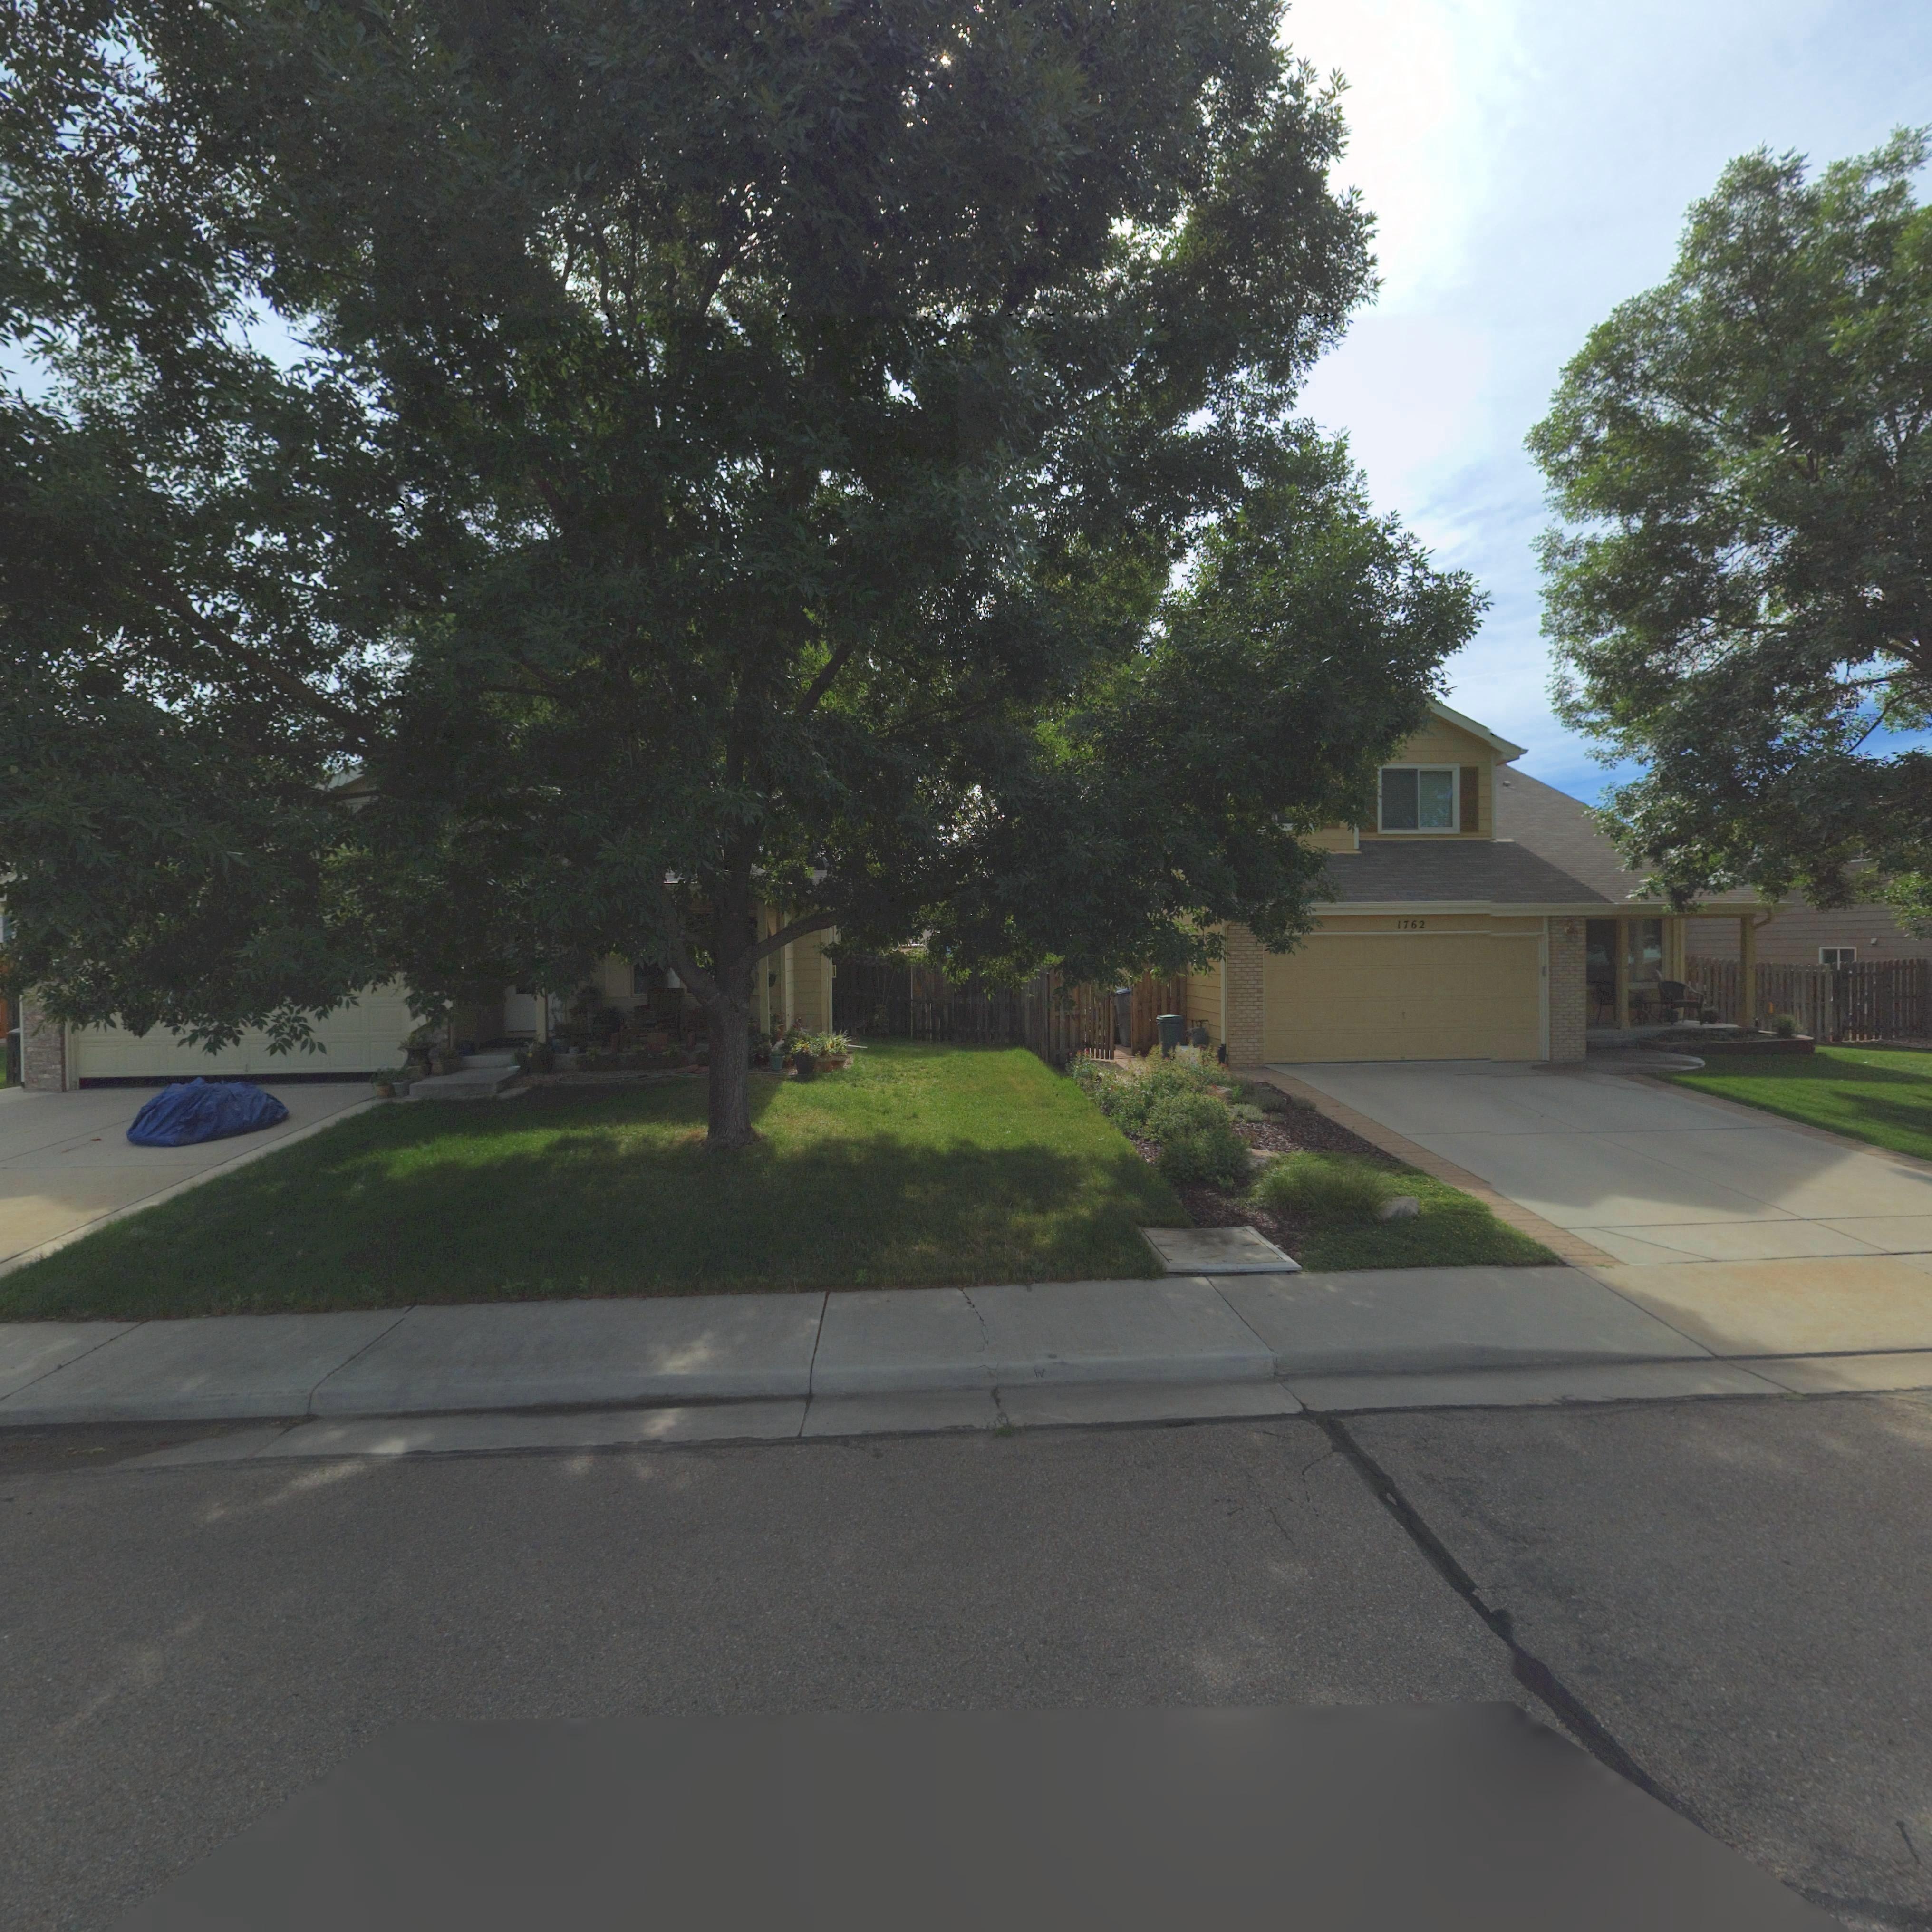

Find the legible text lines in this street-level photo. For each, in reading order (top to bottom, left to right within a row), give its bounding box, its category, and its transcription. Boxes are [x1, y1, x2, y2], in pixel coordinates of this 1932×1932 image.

[1397, 919, 1425, 929] StreetNumber: 1762